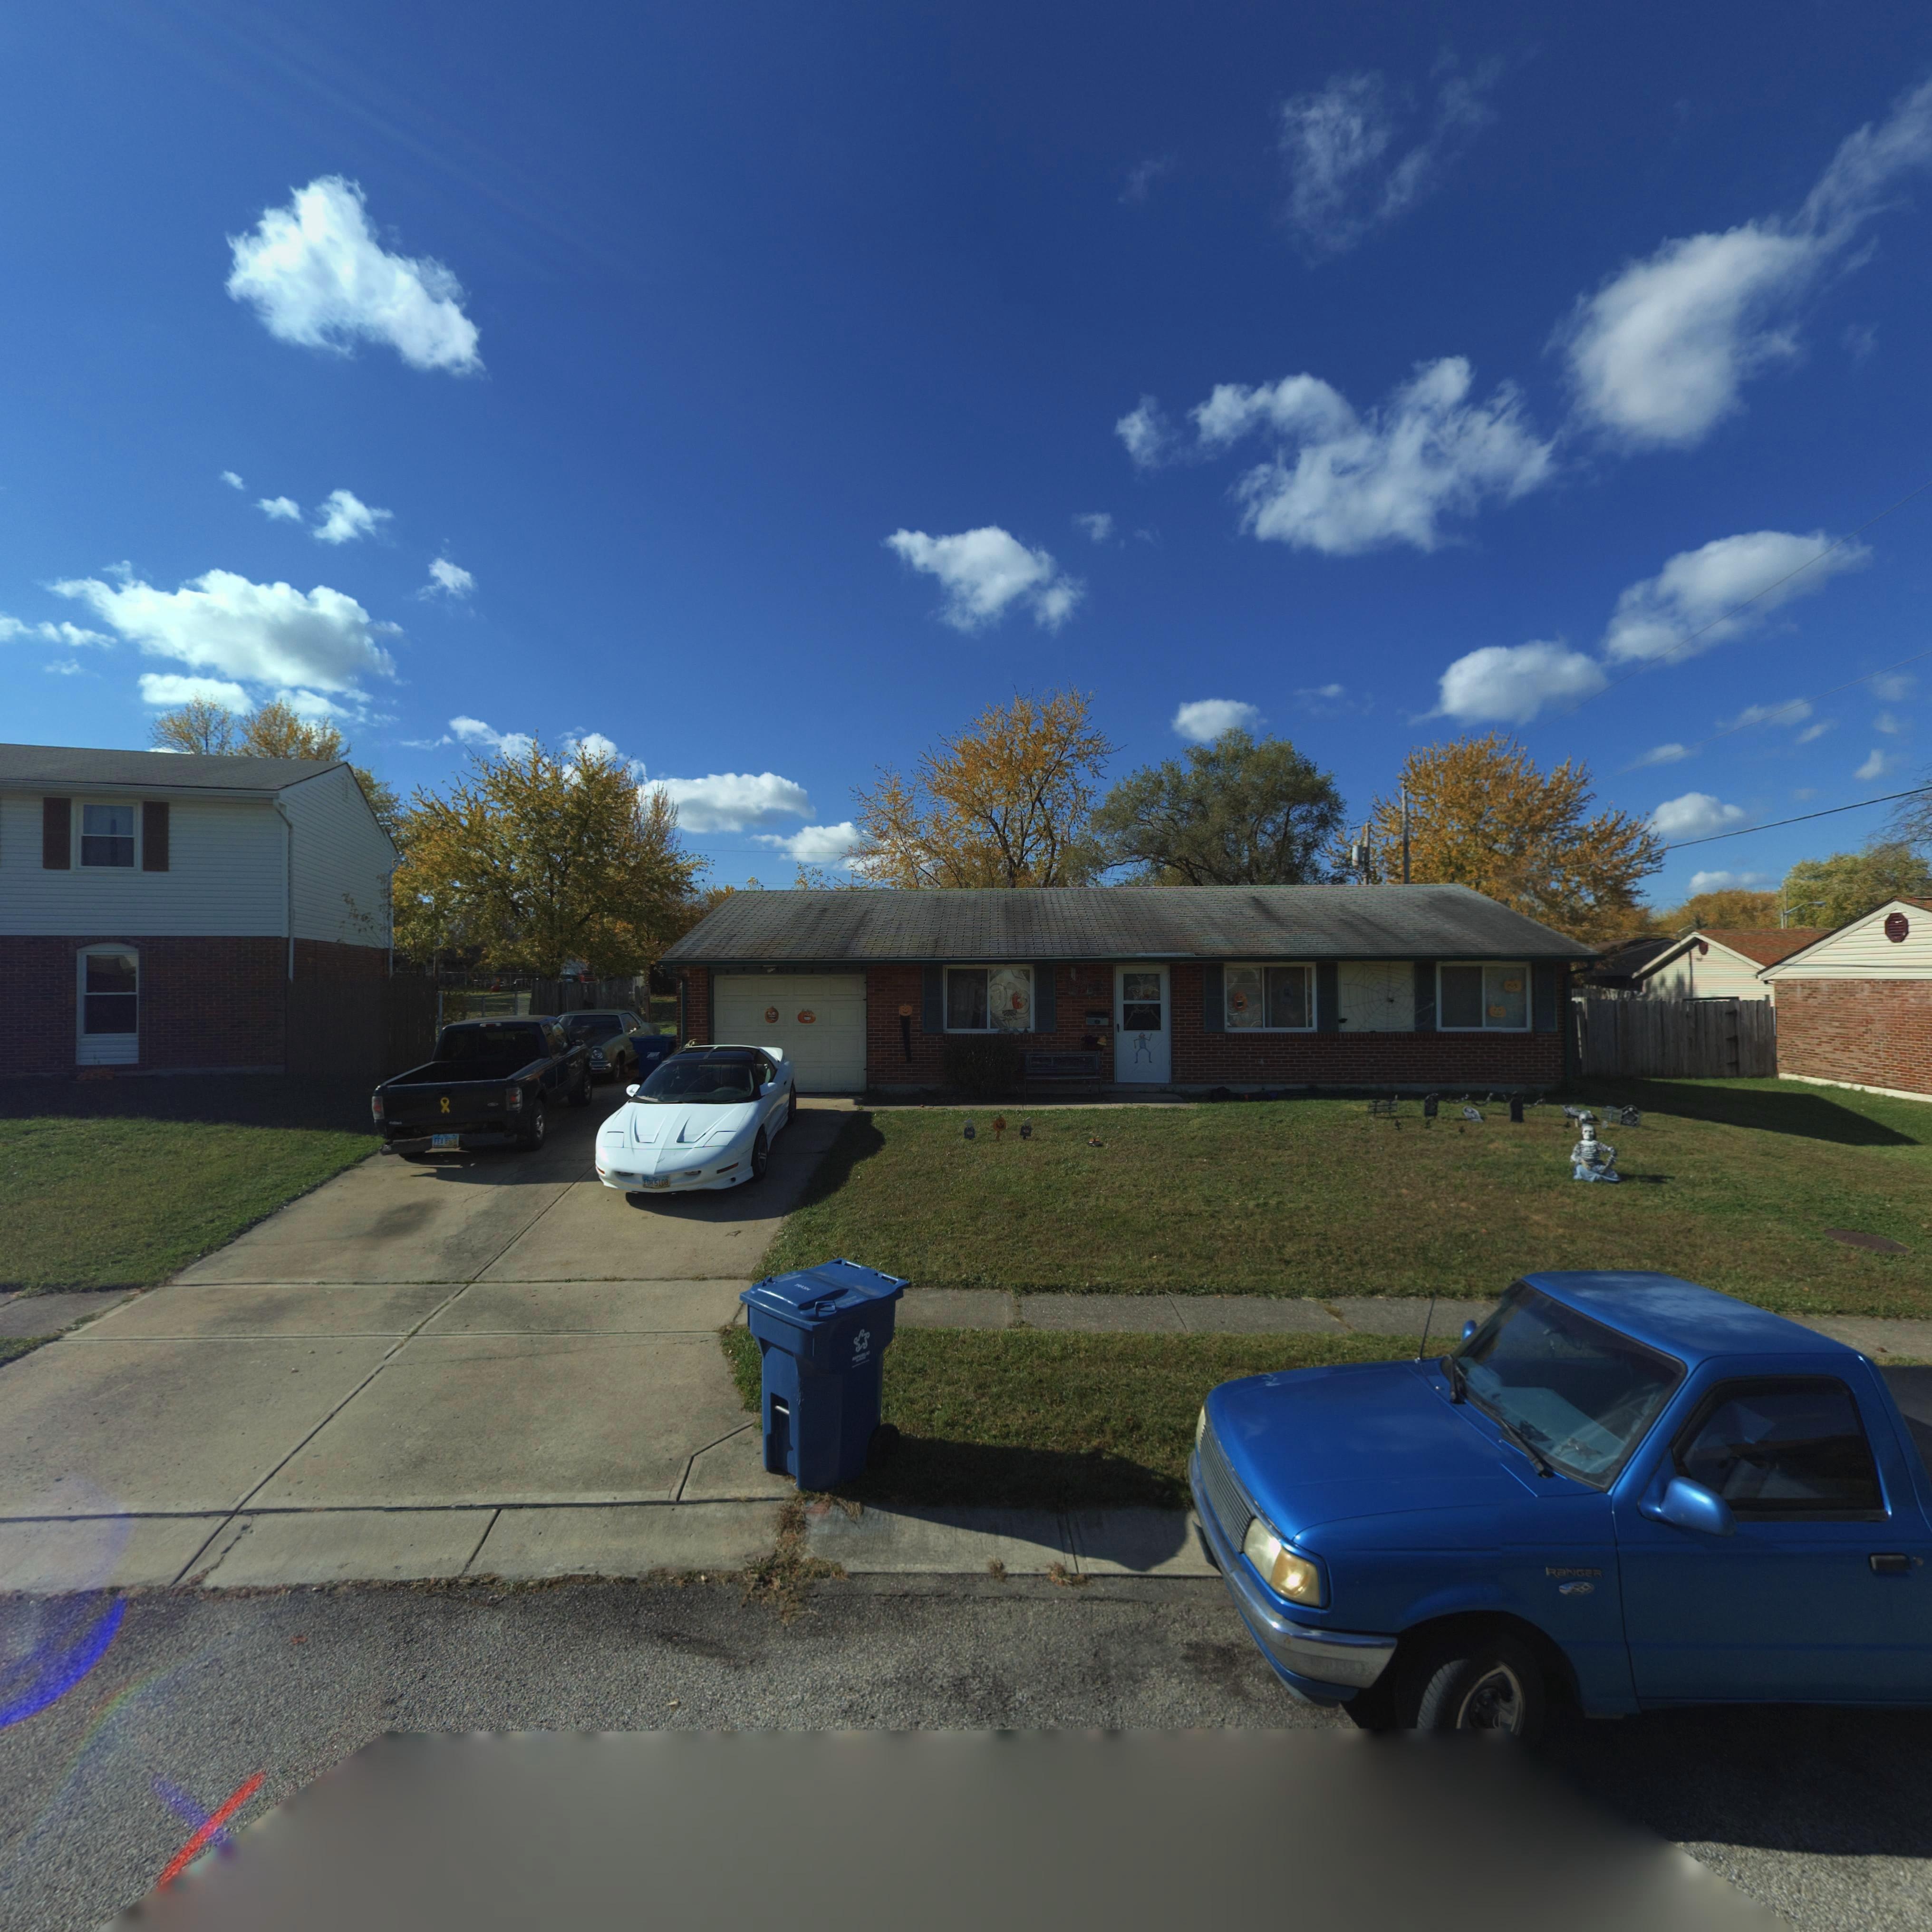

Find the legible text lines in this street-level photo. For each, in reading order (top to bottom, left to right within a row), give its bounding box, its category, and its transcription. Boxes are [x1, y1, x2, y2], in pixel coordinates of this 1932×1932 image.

[779, 966, 785, 975] StreetNumber: 0